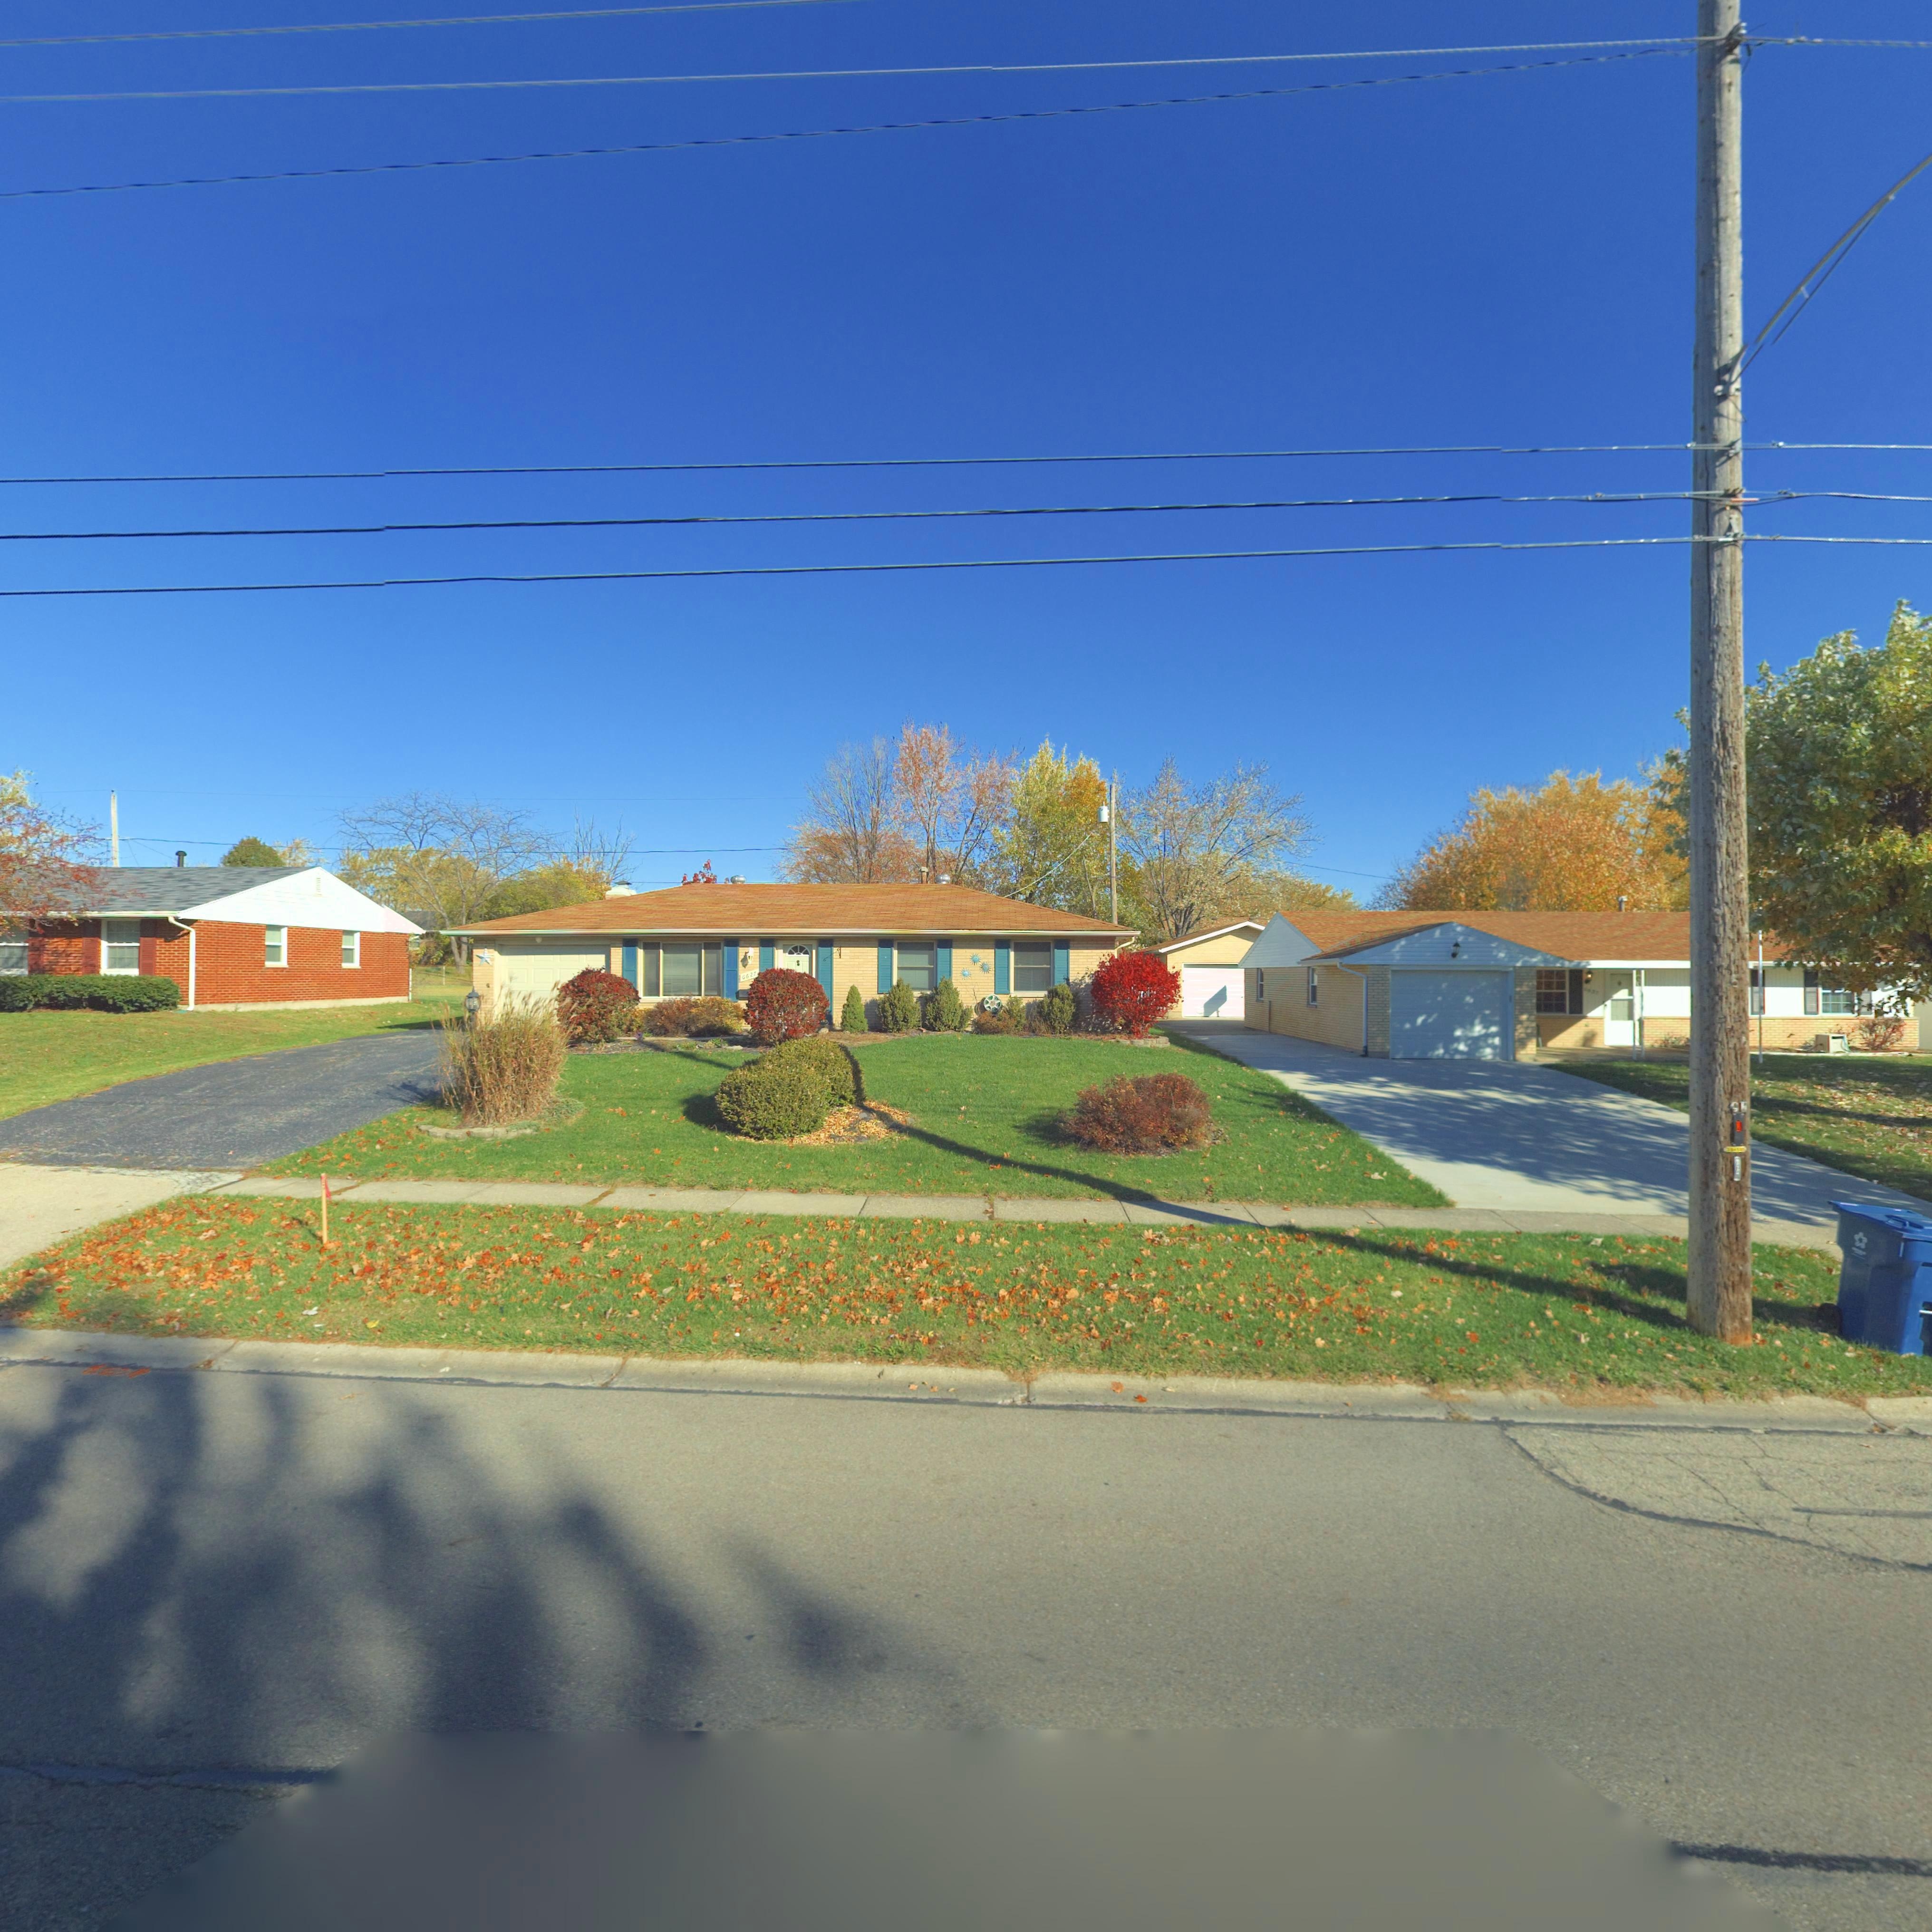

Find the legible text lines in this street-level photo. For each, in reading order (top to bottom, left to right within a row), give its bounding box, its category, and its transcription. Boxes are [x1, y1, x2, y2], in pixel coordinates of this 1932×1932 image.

[741, 970, 757, 981] StreetNumber: 6627